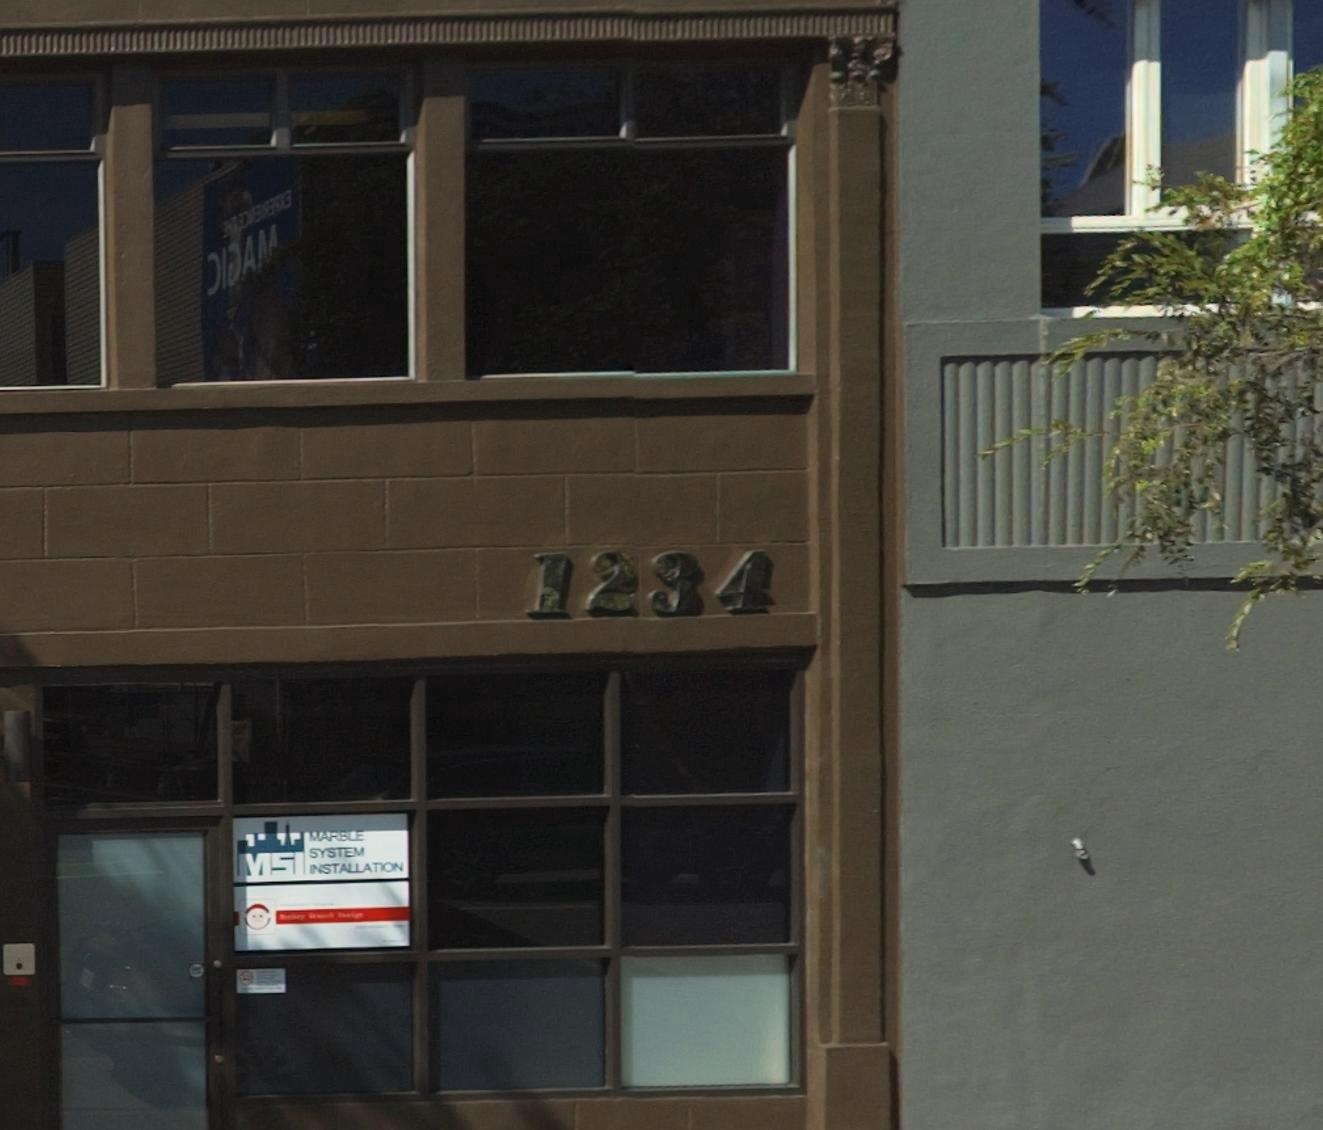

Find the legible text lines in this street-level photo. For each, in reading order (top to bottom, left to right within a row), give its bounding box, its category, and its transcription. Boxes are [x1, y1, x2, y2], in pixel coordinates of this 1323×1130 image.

[202, 230, 259, 300] None: *I*A
[518, 544, 779, 621] StreetNumber: 1234
[235, 849, 308, 882] None: MSI
[305, 825, 368, 845] BusinessName: MARBLE
[305, 842, 369, 861] BusinessName: SYSTEM
[305, 858, 408, 877] BusinessName: INSTALLATION